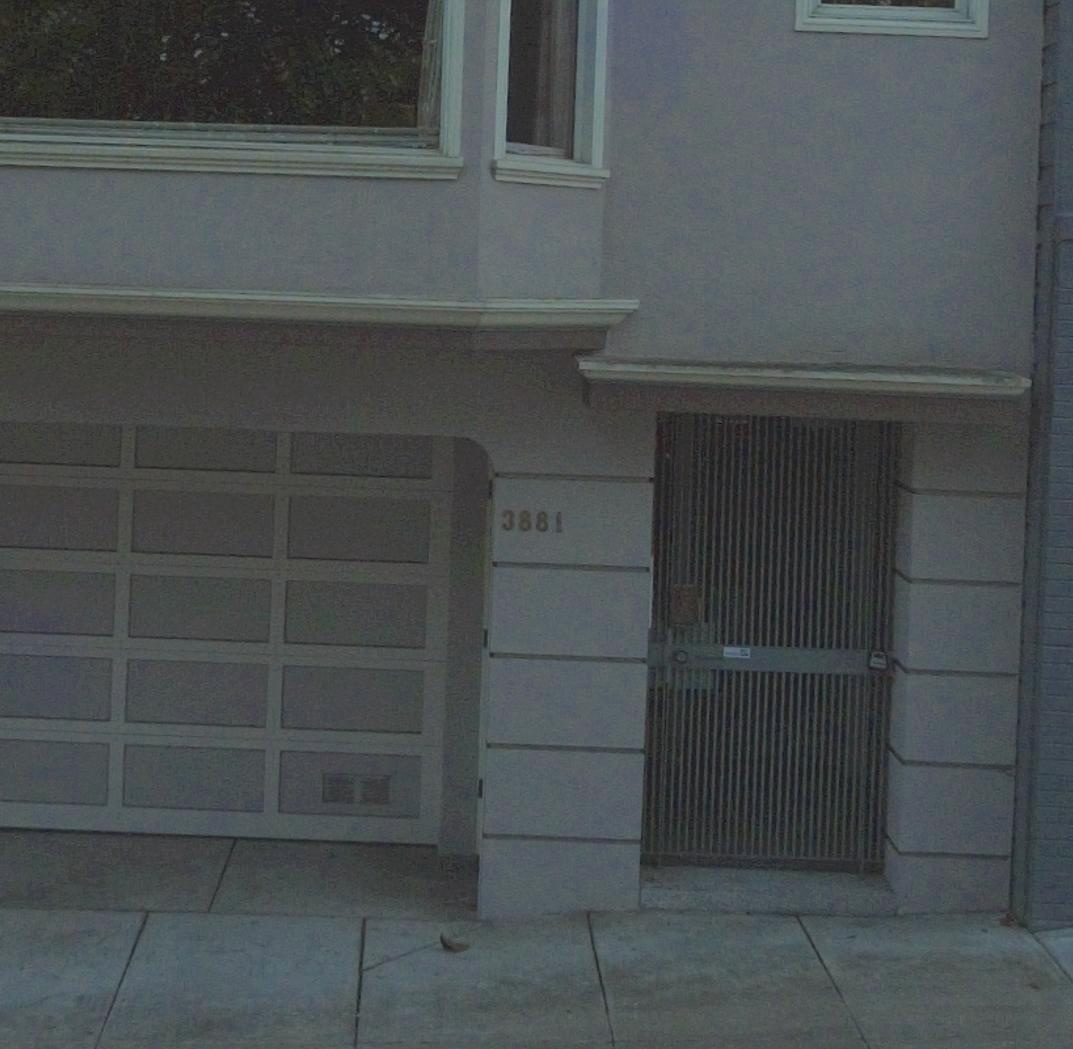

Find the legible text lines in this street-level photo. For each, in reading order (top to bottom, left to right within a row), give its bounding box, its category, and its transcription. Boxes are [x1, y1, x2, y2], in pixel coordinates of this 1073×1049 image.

[500, 508, 563, 532] StreetNumber: 3881